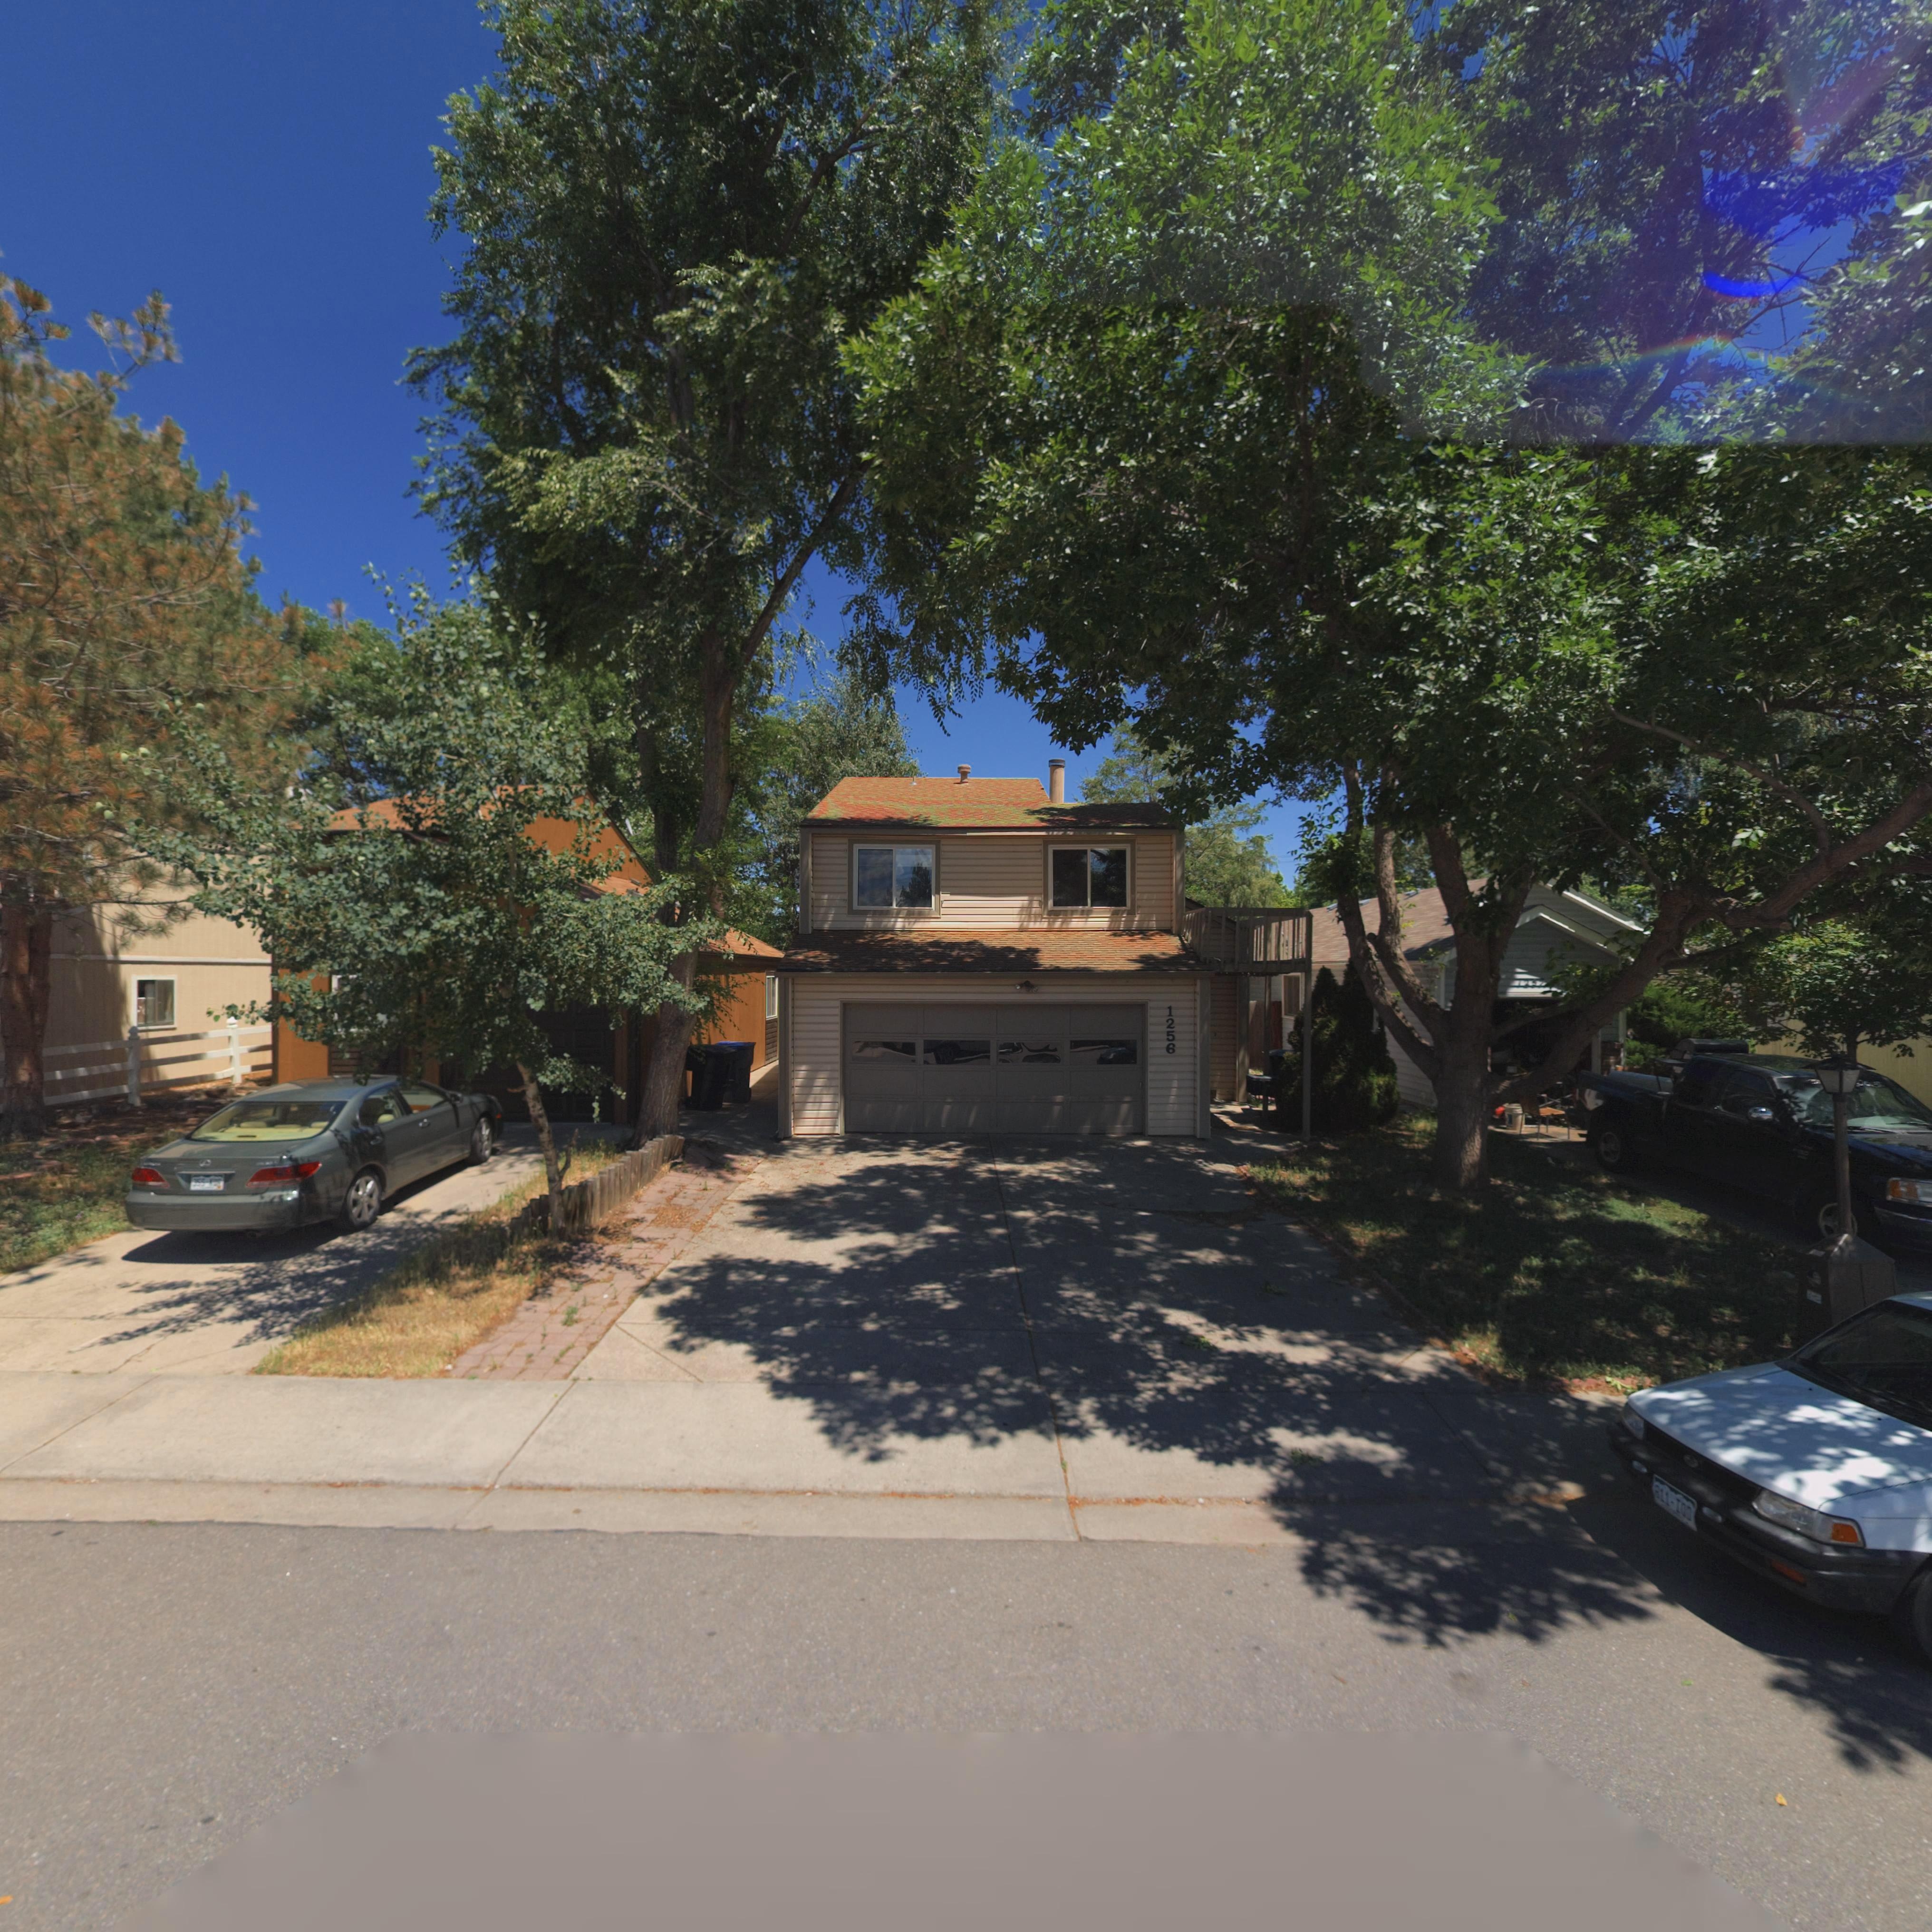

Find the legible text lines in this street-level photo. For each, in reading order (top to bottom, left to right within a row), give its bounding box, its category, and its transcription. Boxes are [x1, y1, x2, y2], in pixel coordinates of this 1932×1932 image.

[1517, 979, 1546, 988] StreetNumber: 125*
[1164, 1004, 1176, 1054] StreetNumber: 1256